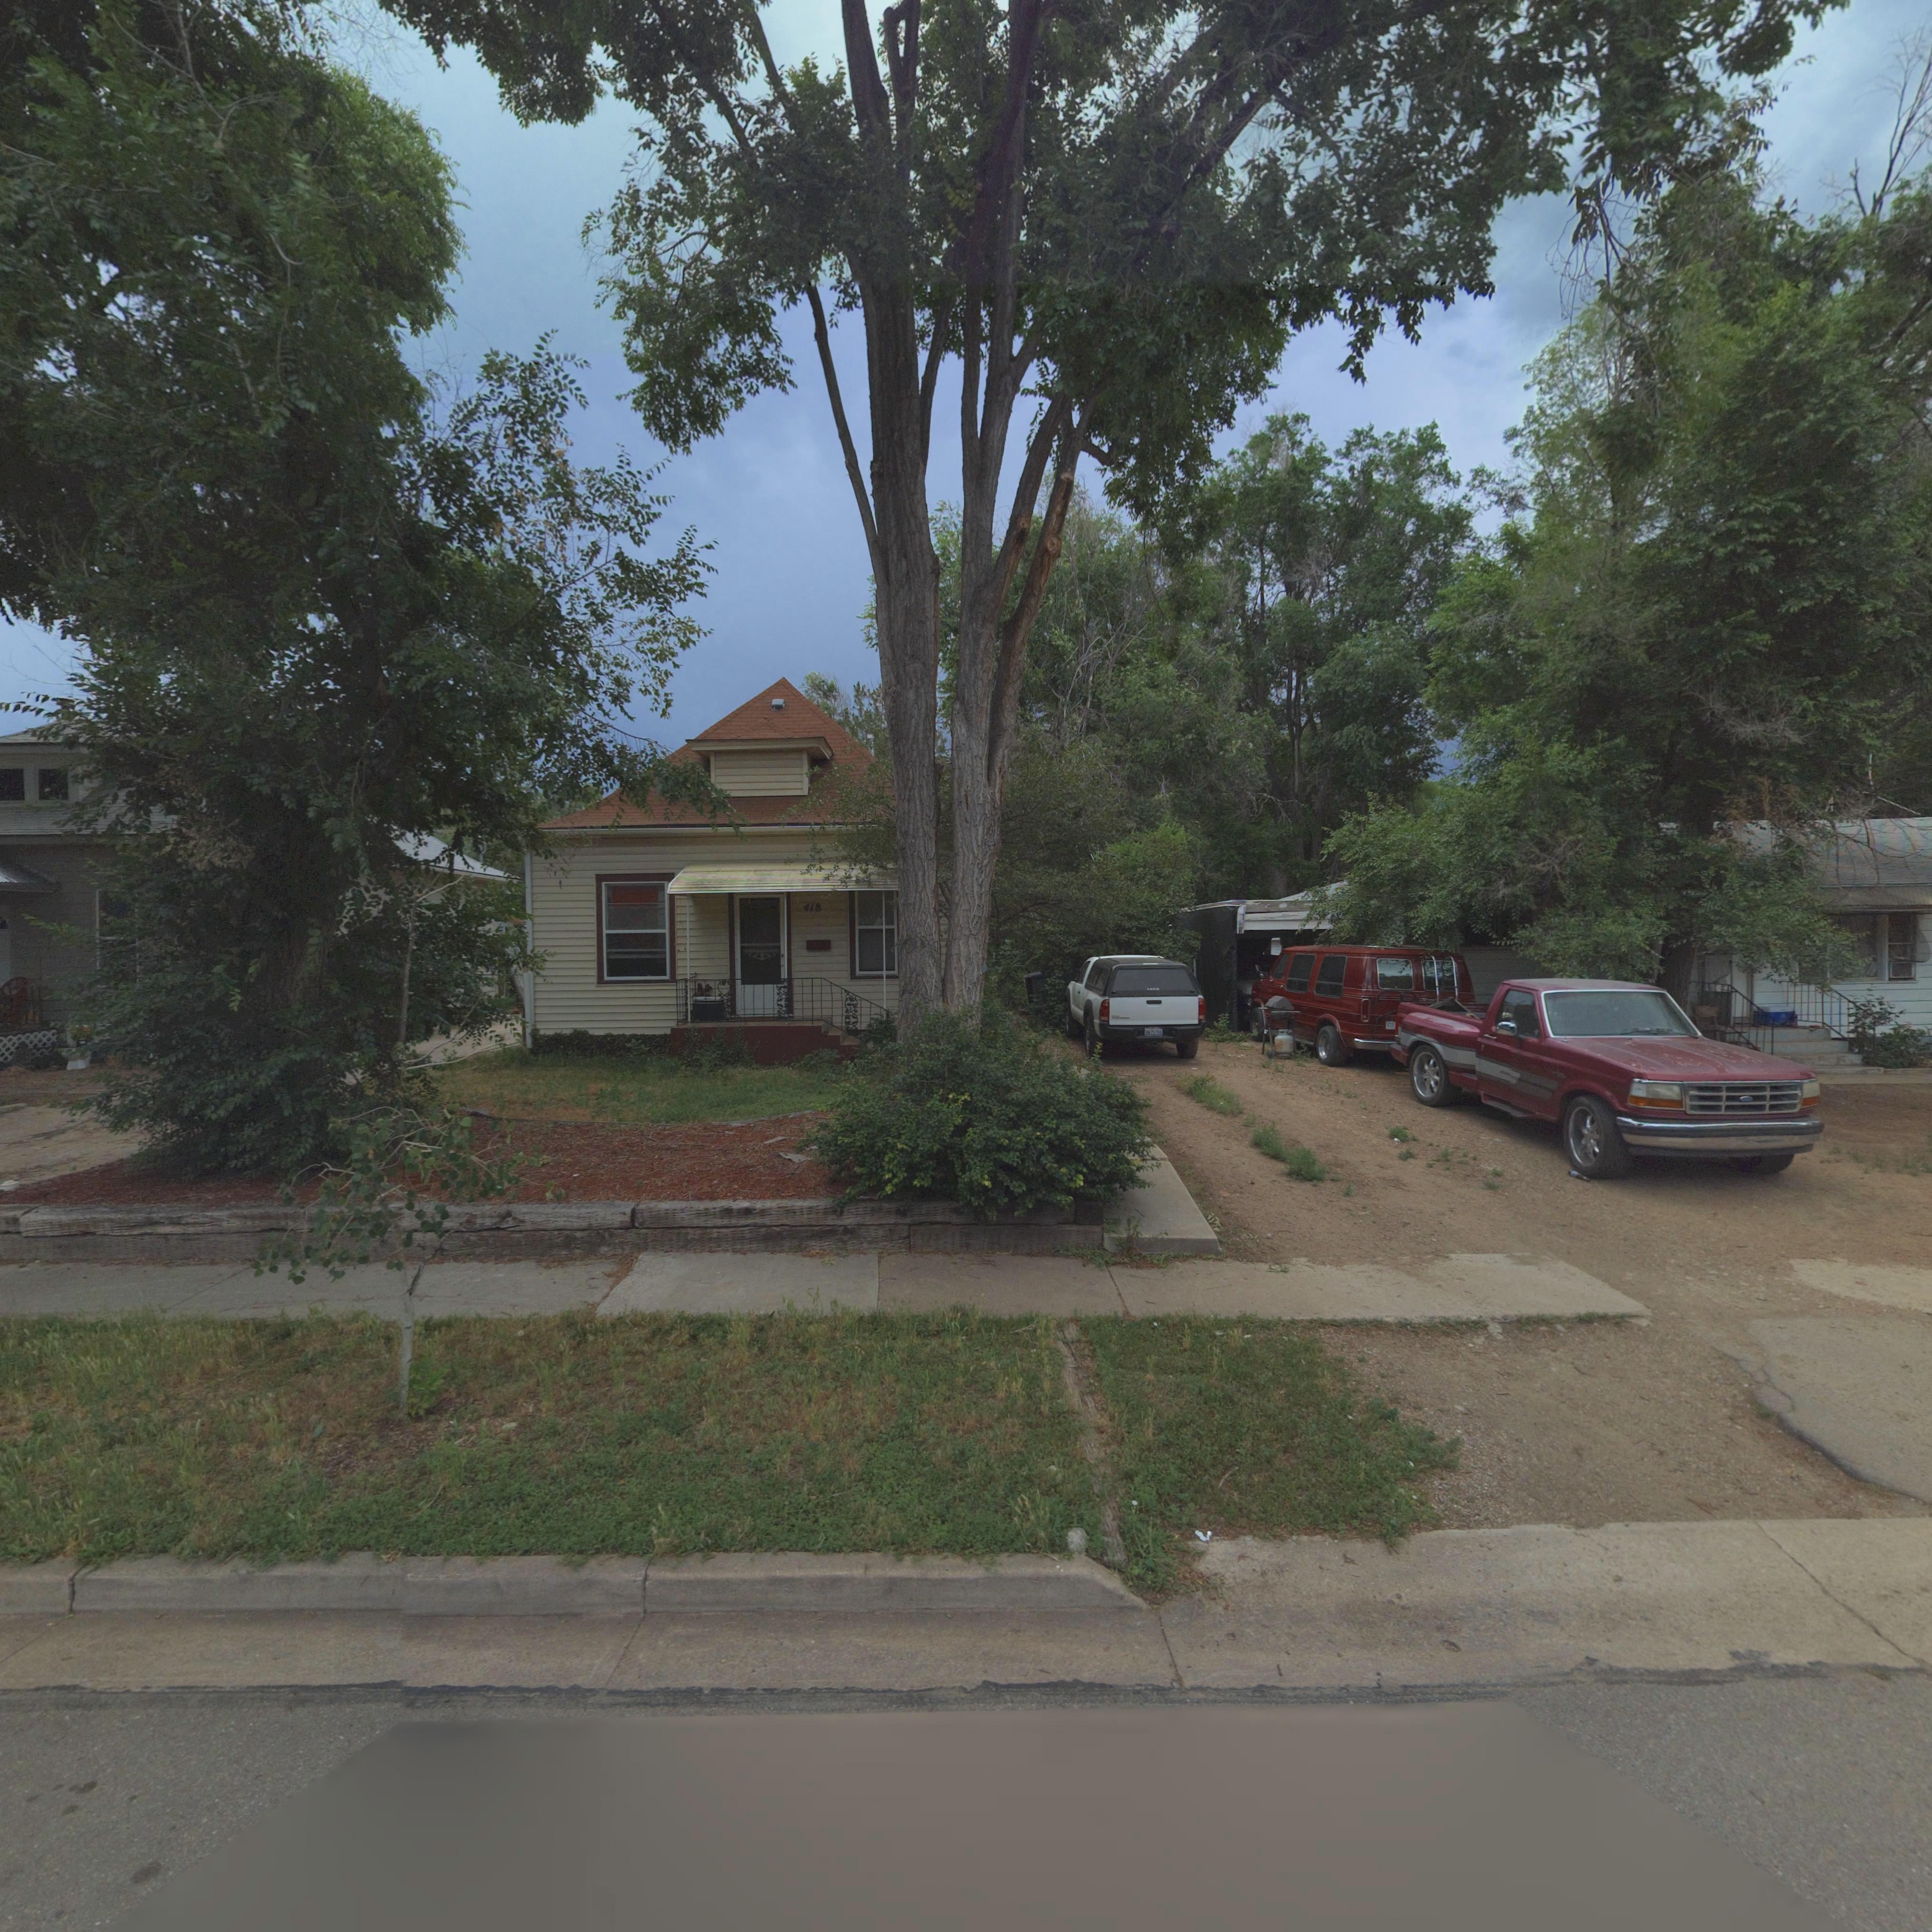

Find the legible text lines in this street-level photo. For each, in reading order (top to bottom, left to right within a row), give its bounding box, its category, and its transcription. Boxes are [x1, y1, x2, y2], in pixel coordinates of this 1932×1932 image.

[802, 902, 821, 912] StreetNumber: 418